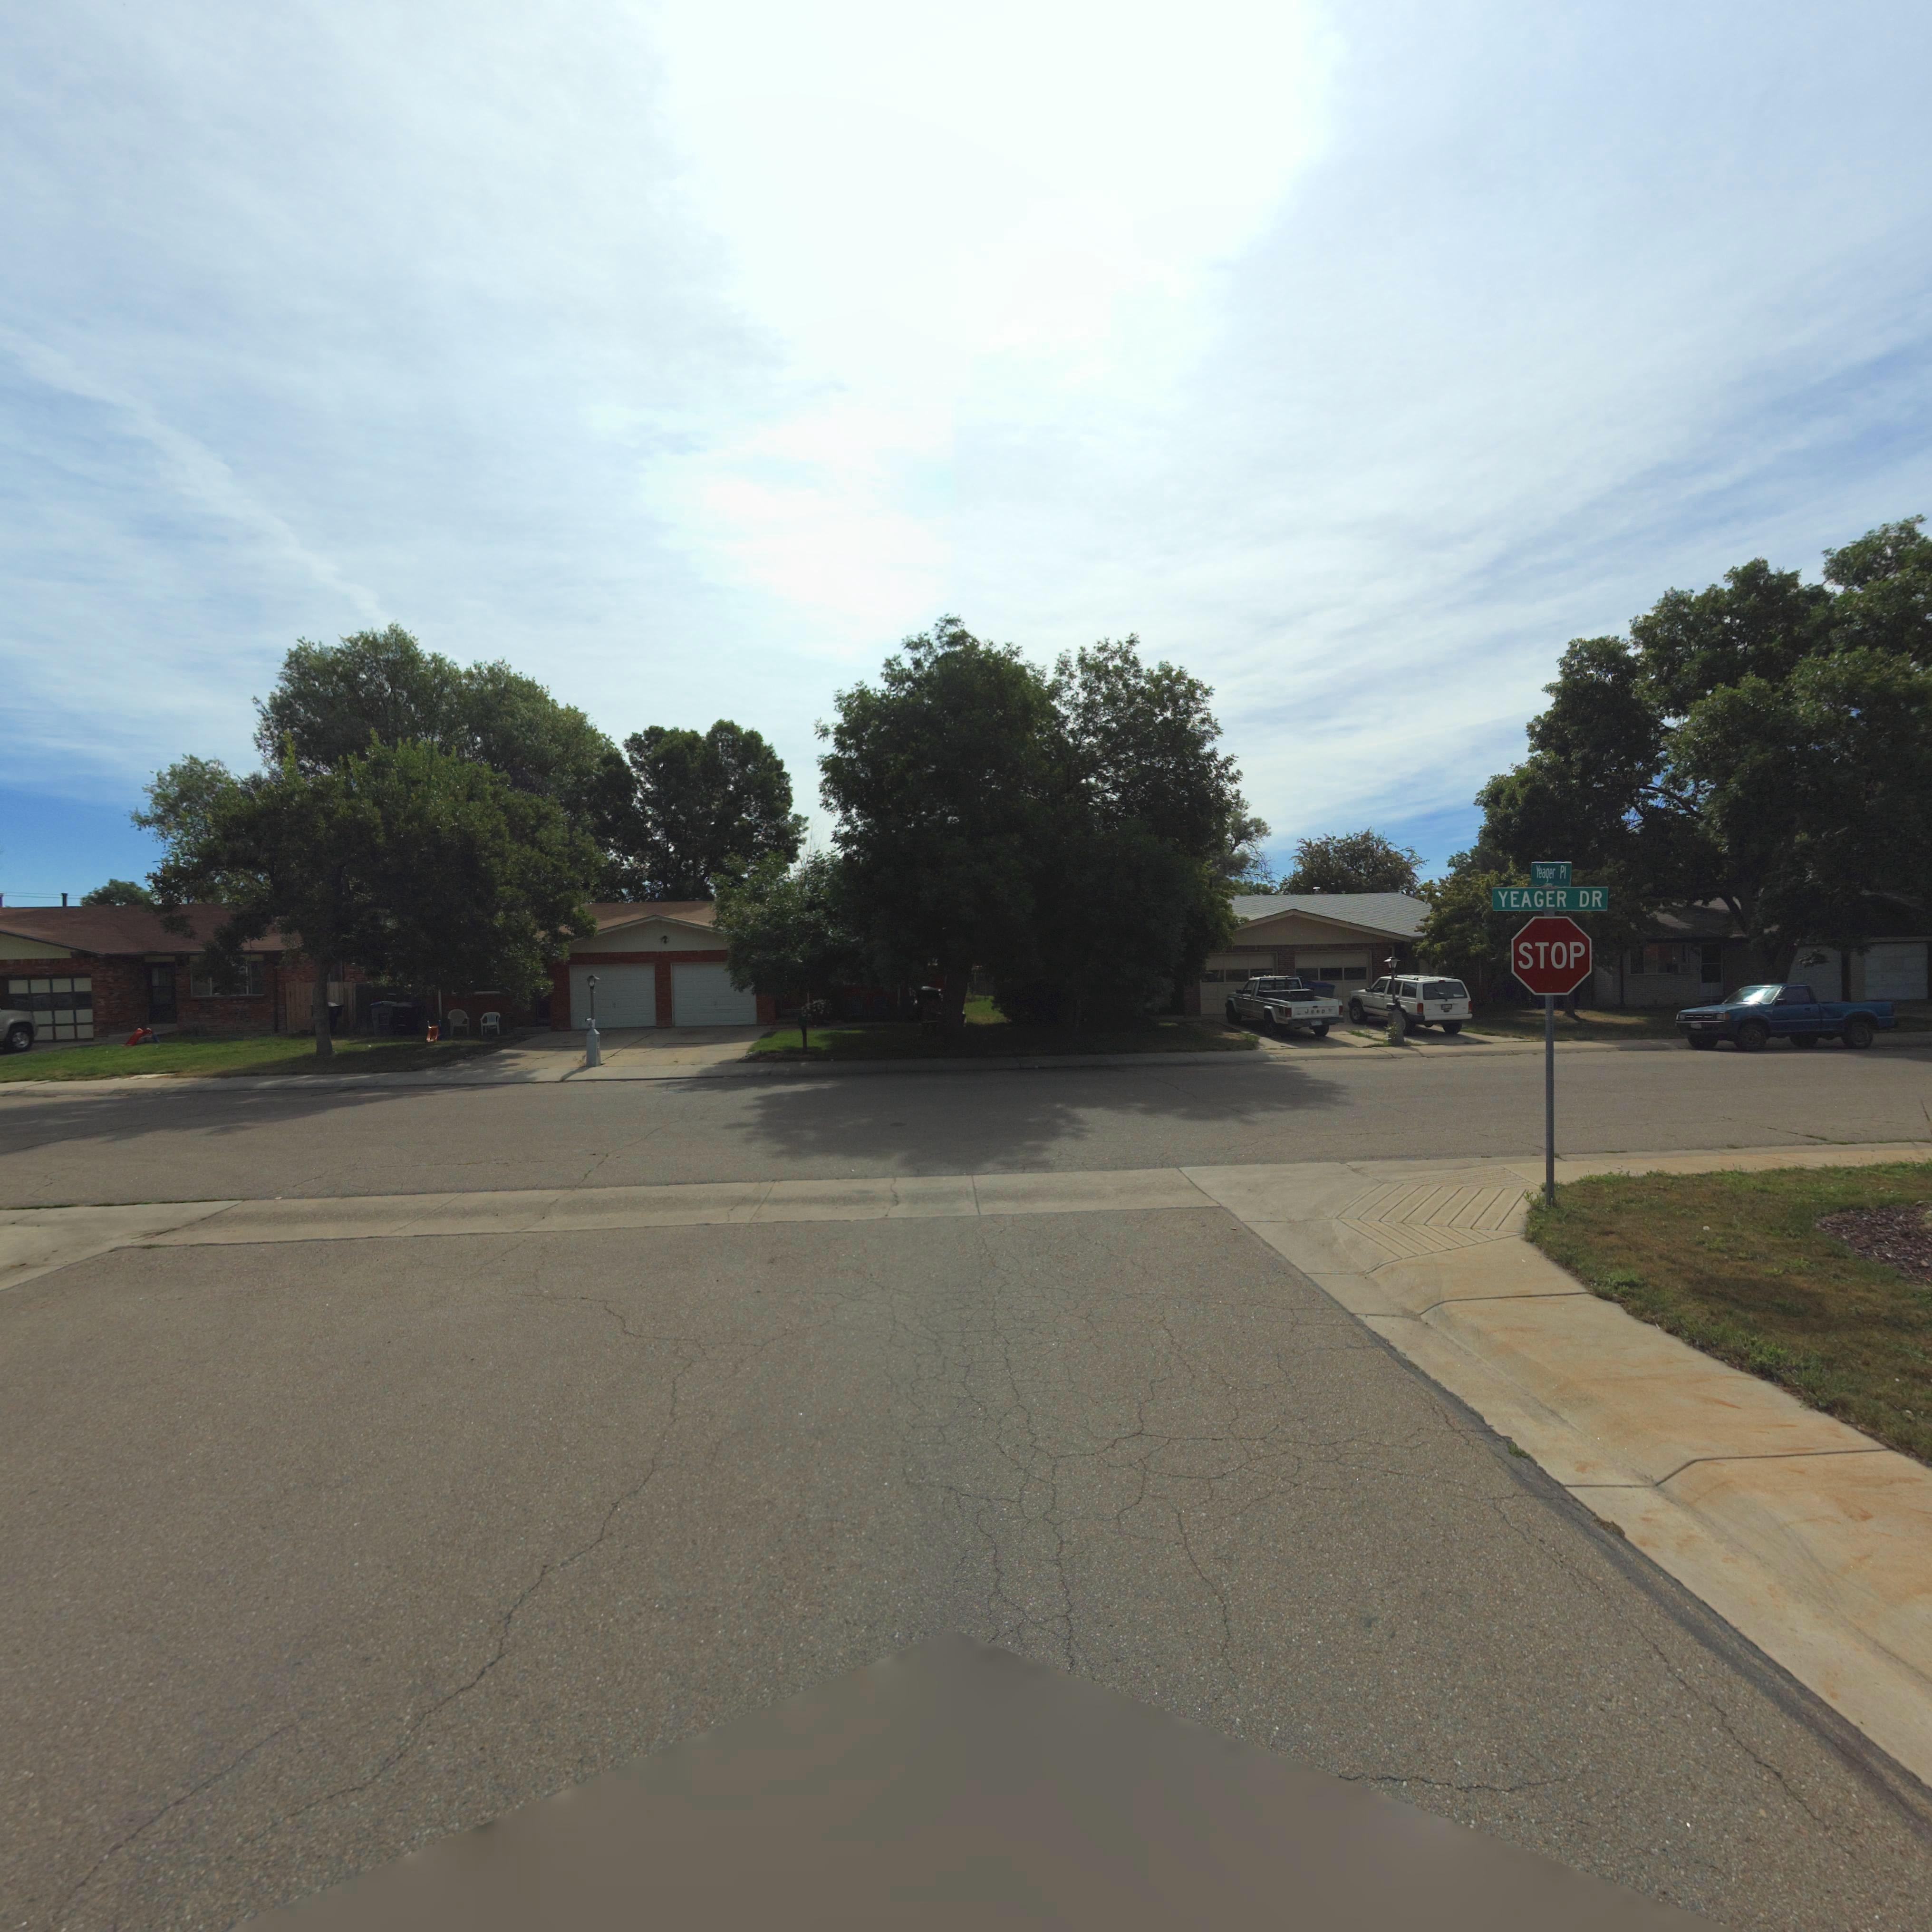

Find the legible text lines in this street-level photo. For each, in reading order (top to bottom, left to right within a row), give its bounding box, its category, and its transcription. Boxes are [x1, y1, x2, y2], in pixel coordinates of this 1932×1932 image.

[1536, 864, 1567, 883] StreetName: Yeager Pl
[1497, 889, 1604, 908] StreetName: YEAGER DR